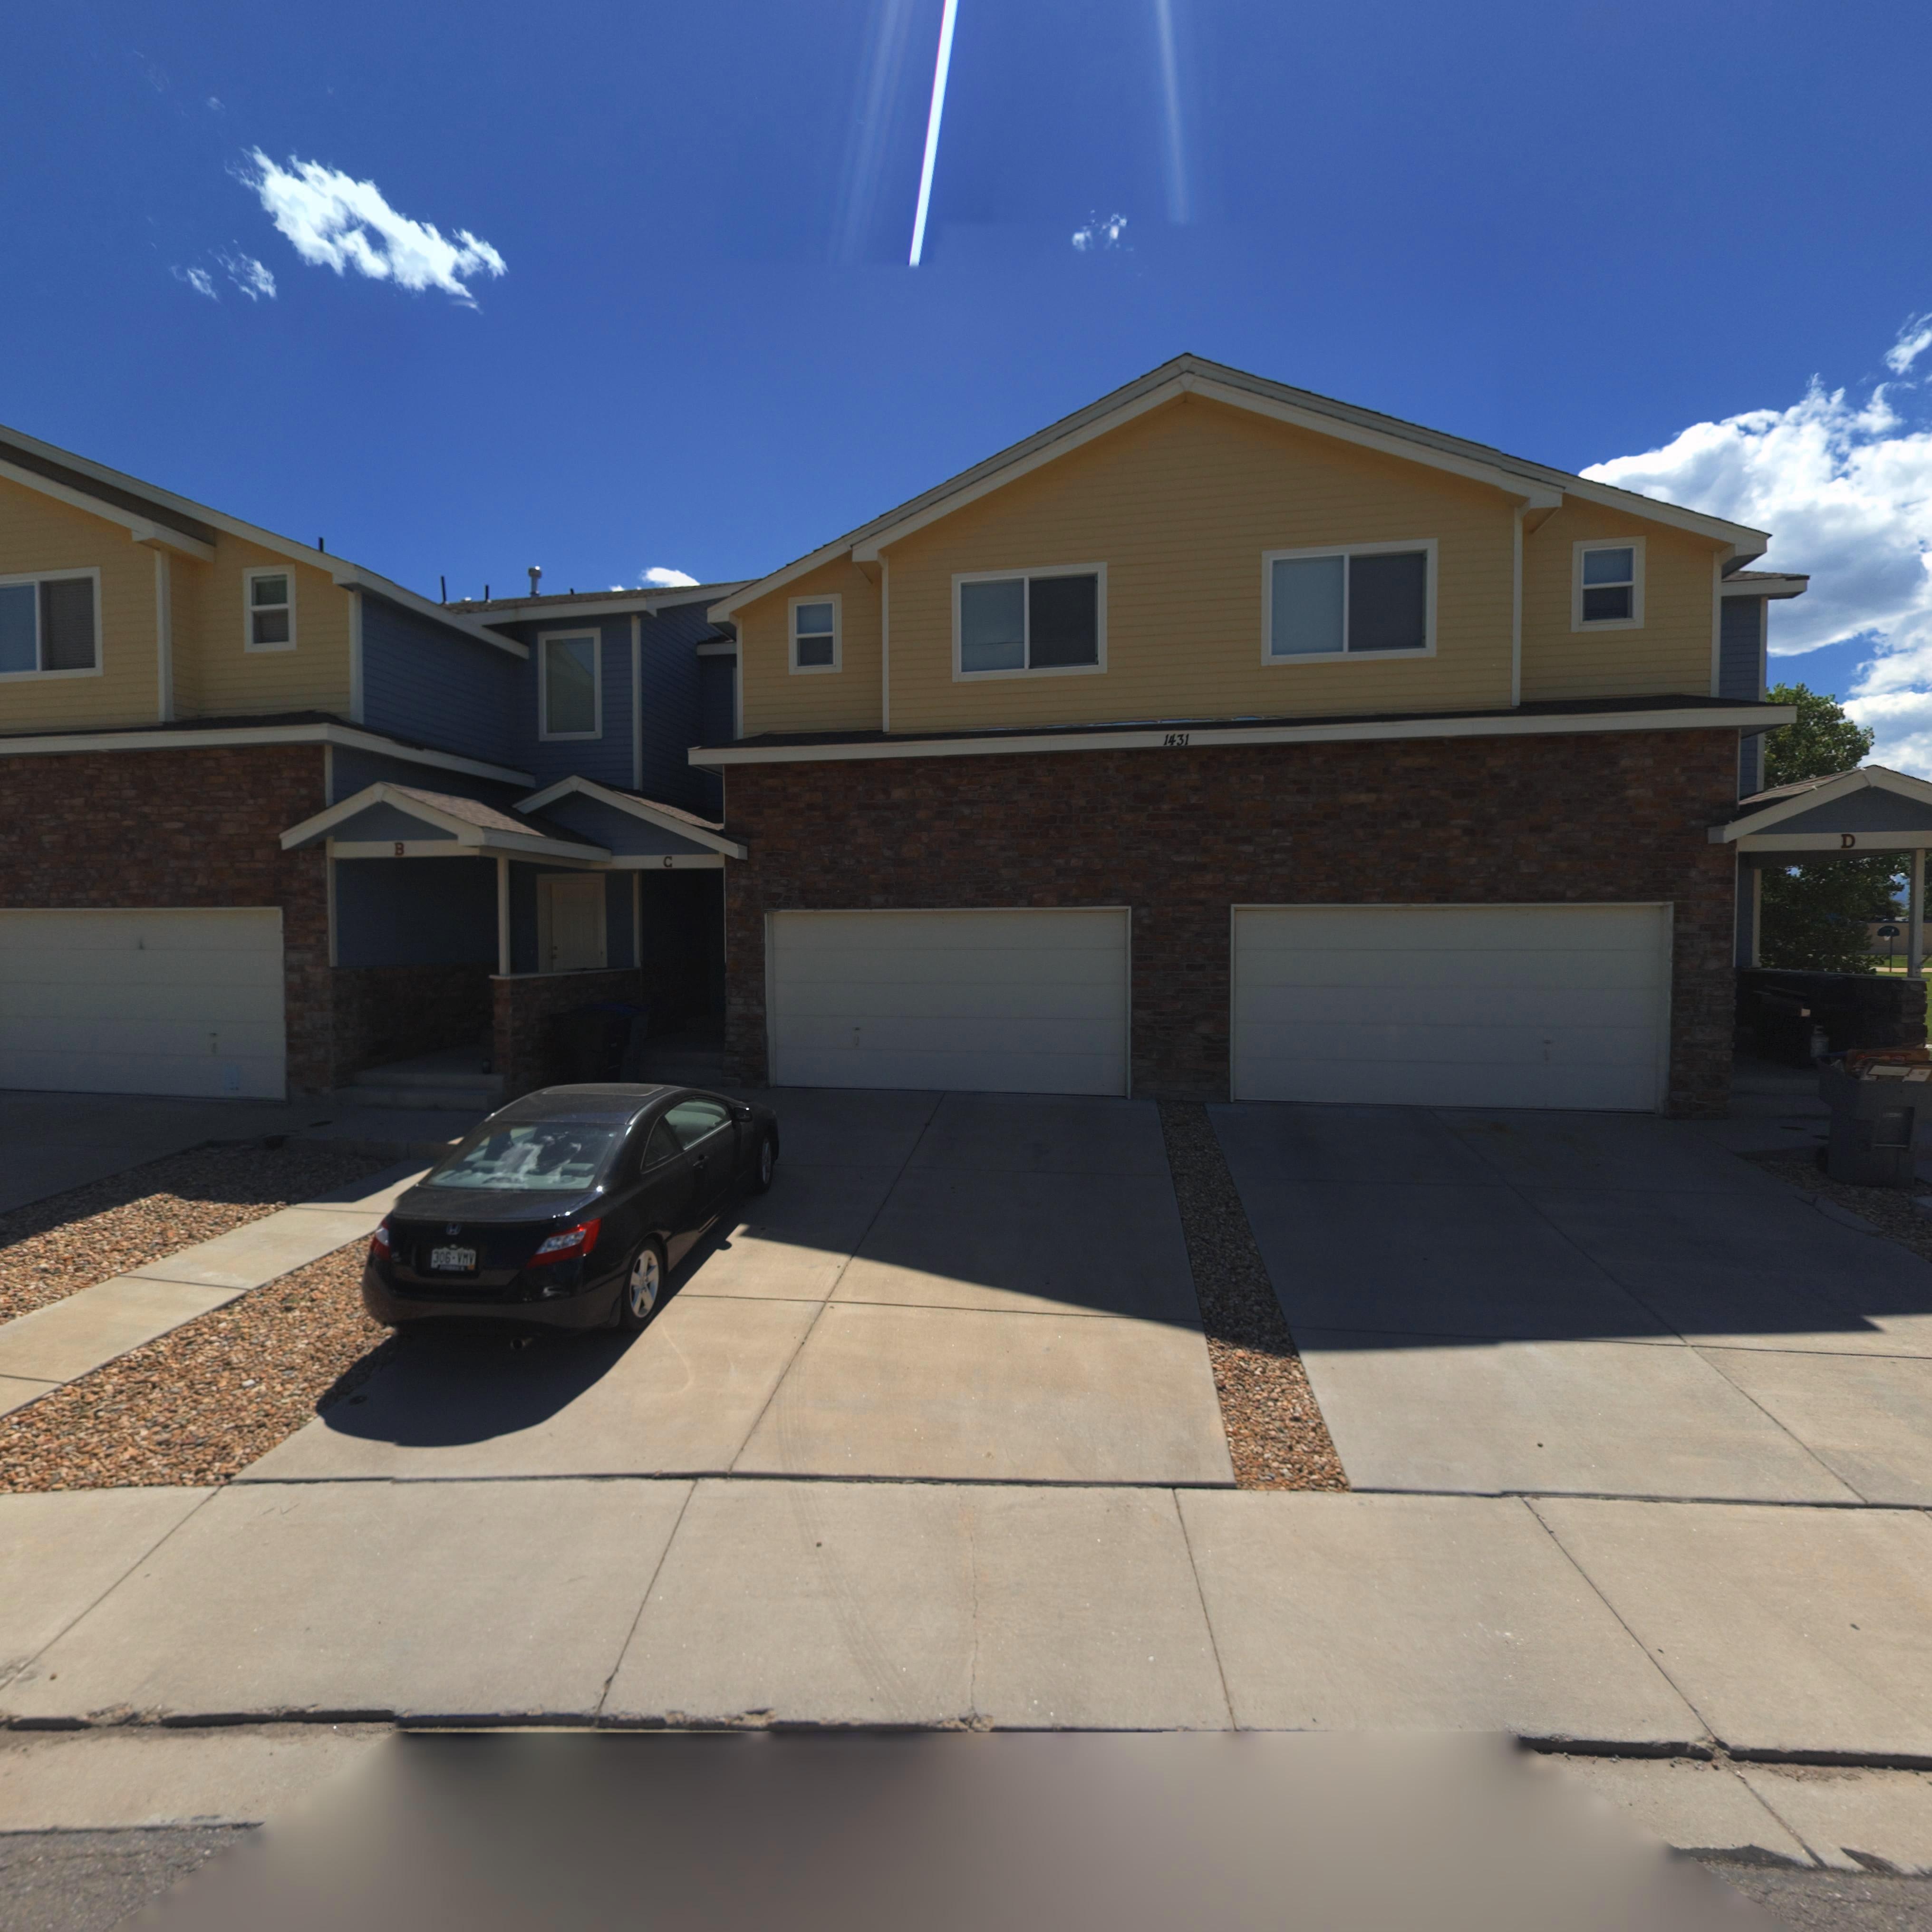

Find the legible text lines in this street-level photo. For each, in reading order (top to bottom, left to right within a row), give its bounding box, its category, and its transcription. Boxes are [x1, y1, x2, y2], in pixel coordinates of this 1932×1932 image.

[1162, 733, 1190, 746] StreetNumber: 1431